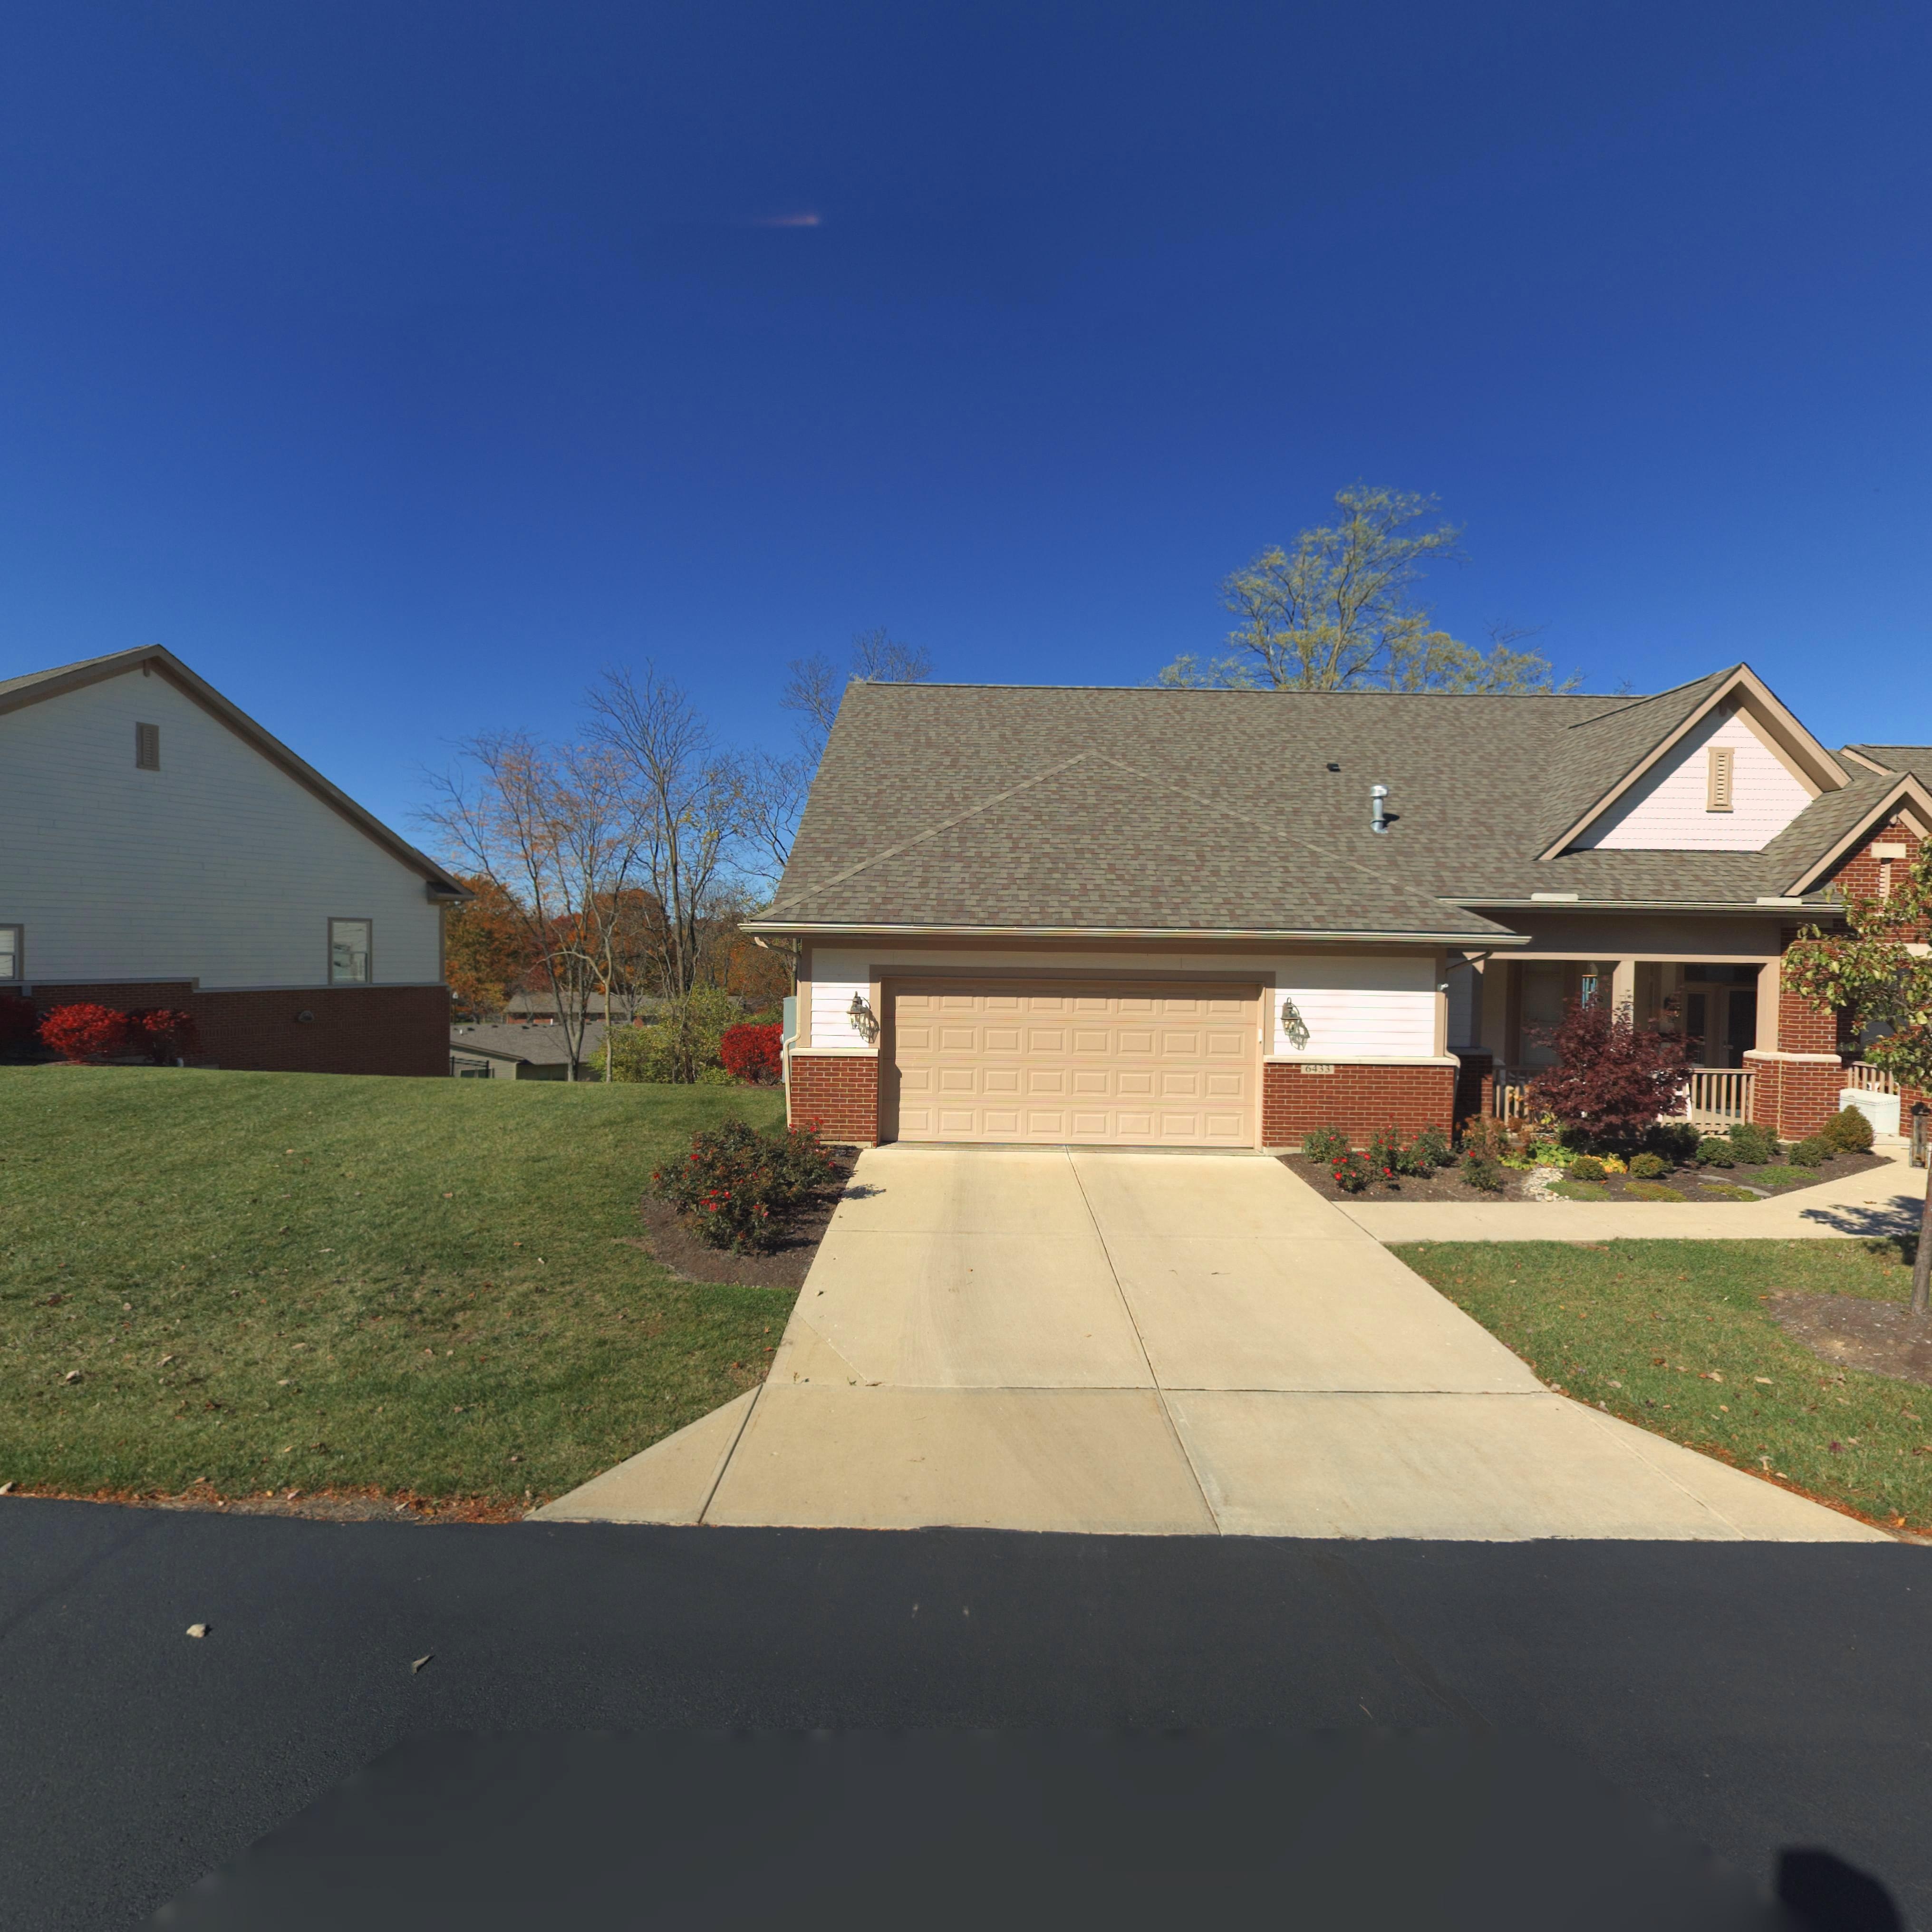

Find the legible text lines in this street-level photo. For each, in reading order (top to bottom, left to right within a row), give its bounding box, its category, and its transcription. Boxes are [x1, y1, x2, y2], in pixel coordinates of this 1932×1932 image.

[1304, 1063, 1331, 1073] StreetNumber: 6433